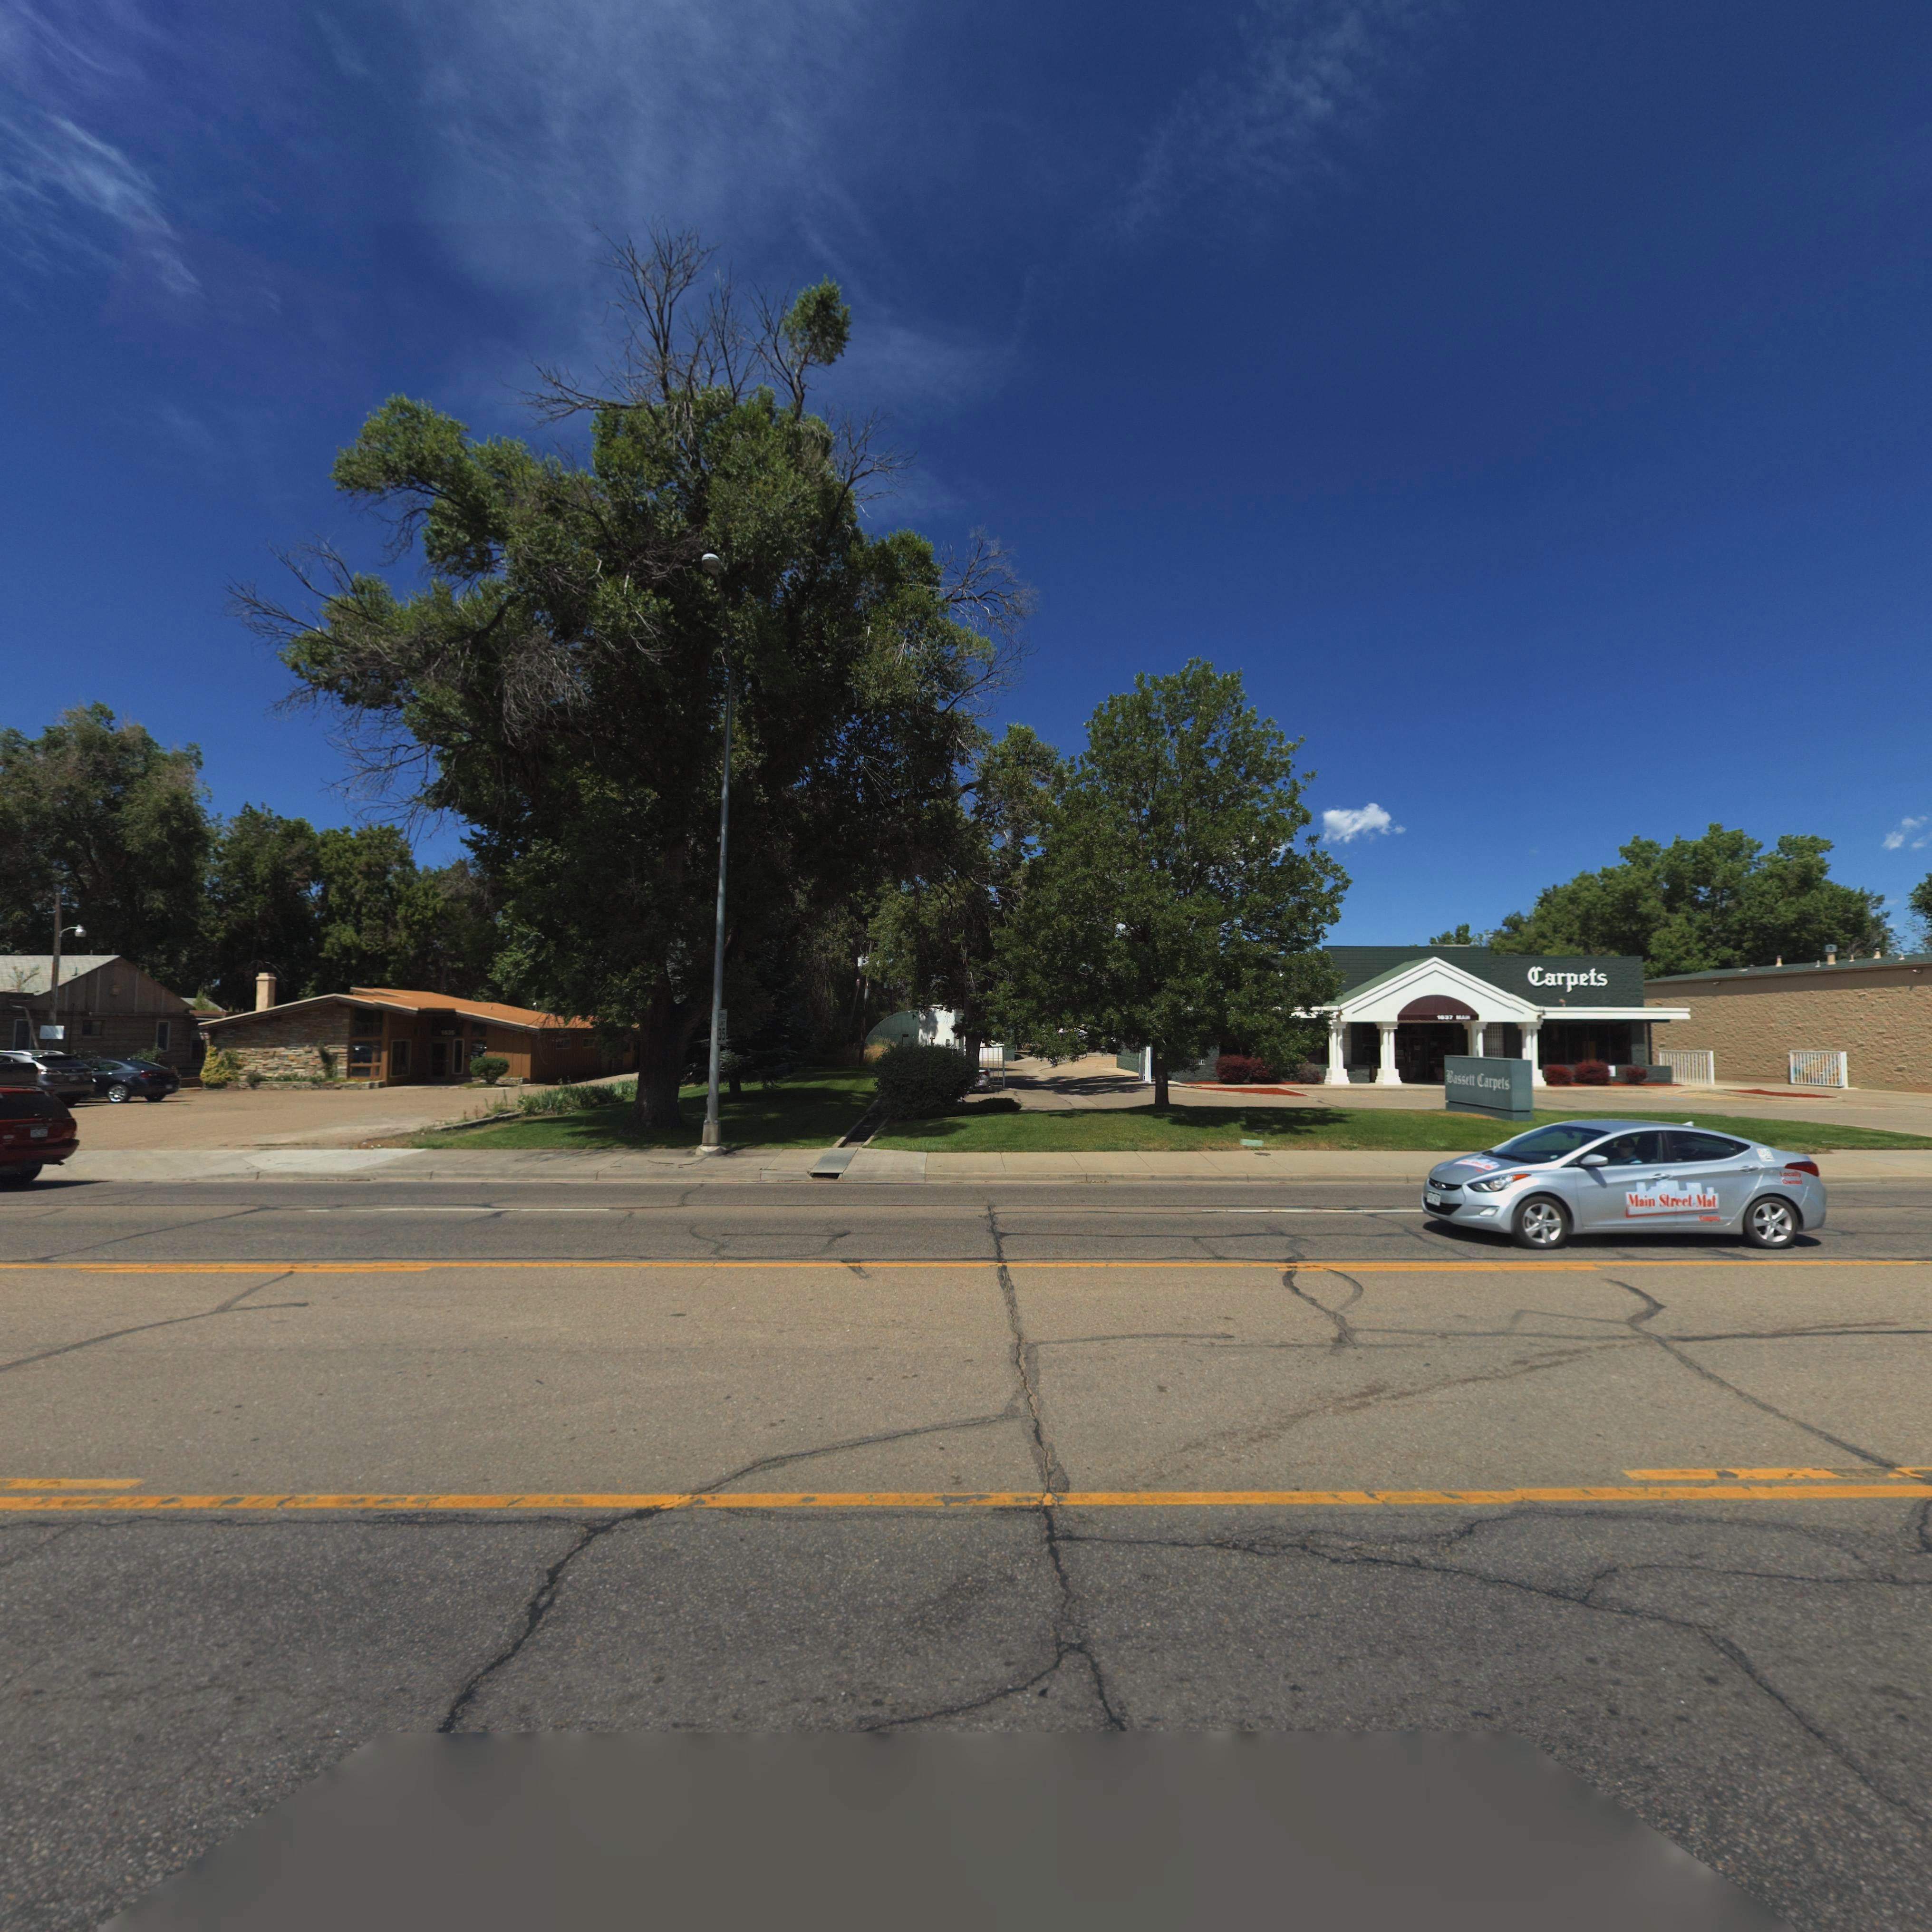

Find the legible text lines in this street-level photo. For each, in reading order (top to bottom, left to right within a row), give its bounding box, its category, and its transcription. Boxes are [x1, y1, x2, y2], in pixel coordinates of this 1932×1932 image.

[1526, 965, 1608, 994] BusinessName: Carpets
[1436, 1014, 1454, 1020] StreetNumber: 1637
[1455, 1014, 1470, 1020] StreetName: MA**
[440, 1029, 455, 1035] StreetNumber: 1*3*
[1445, 1069, 1510, 1091] BusinessName: Bassett Carpets